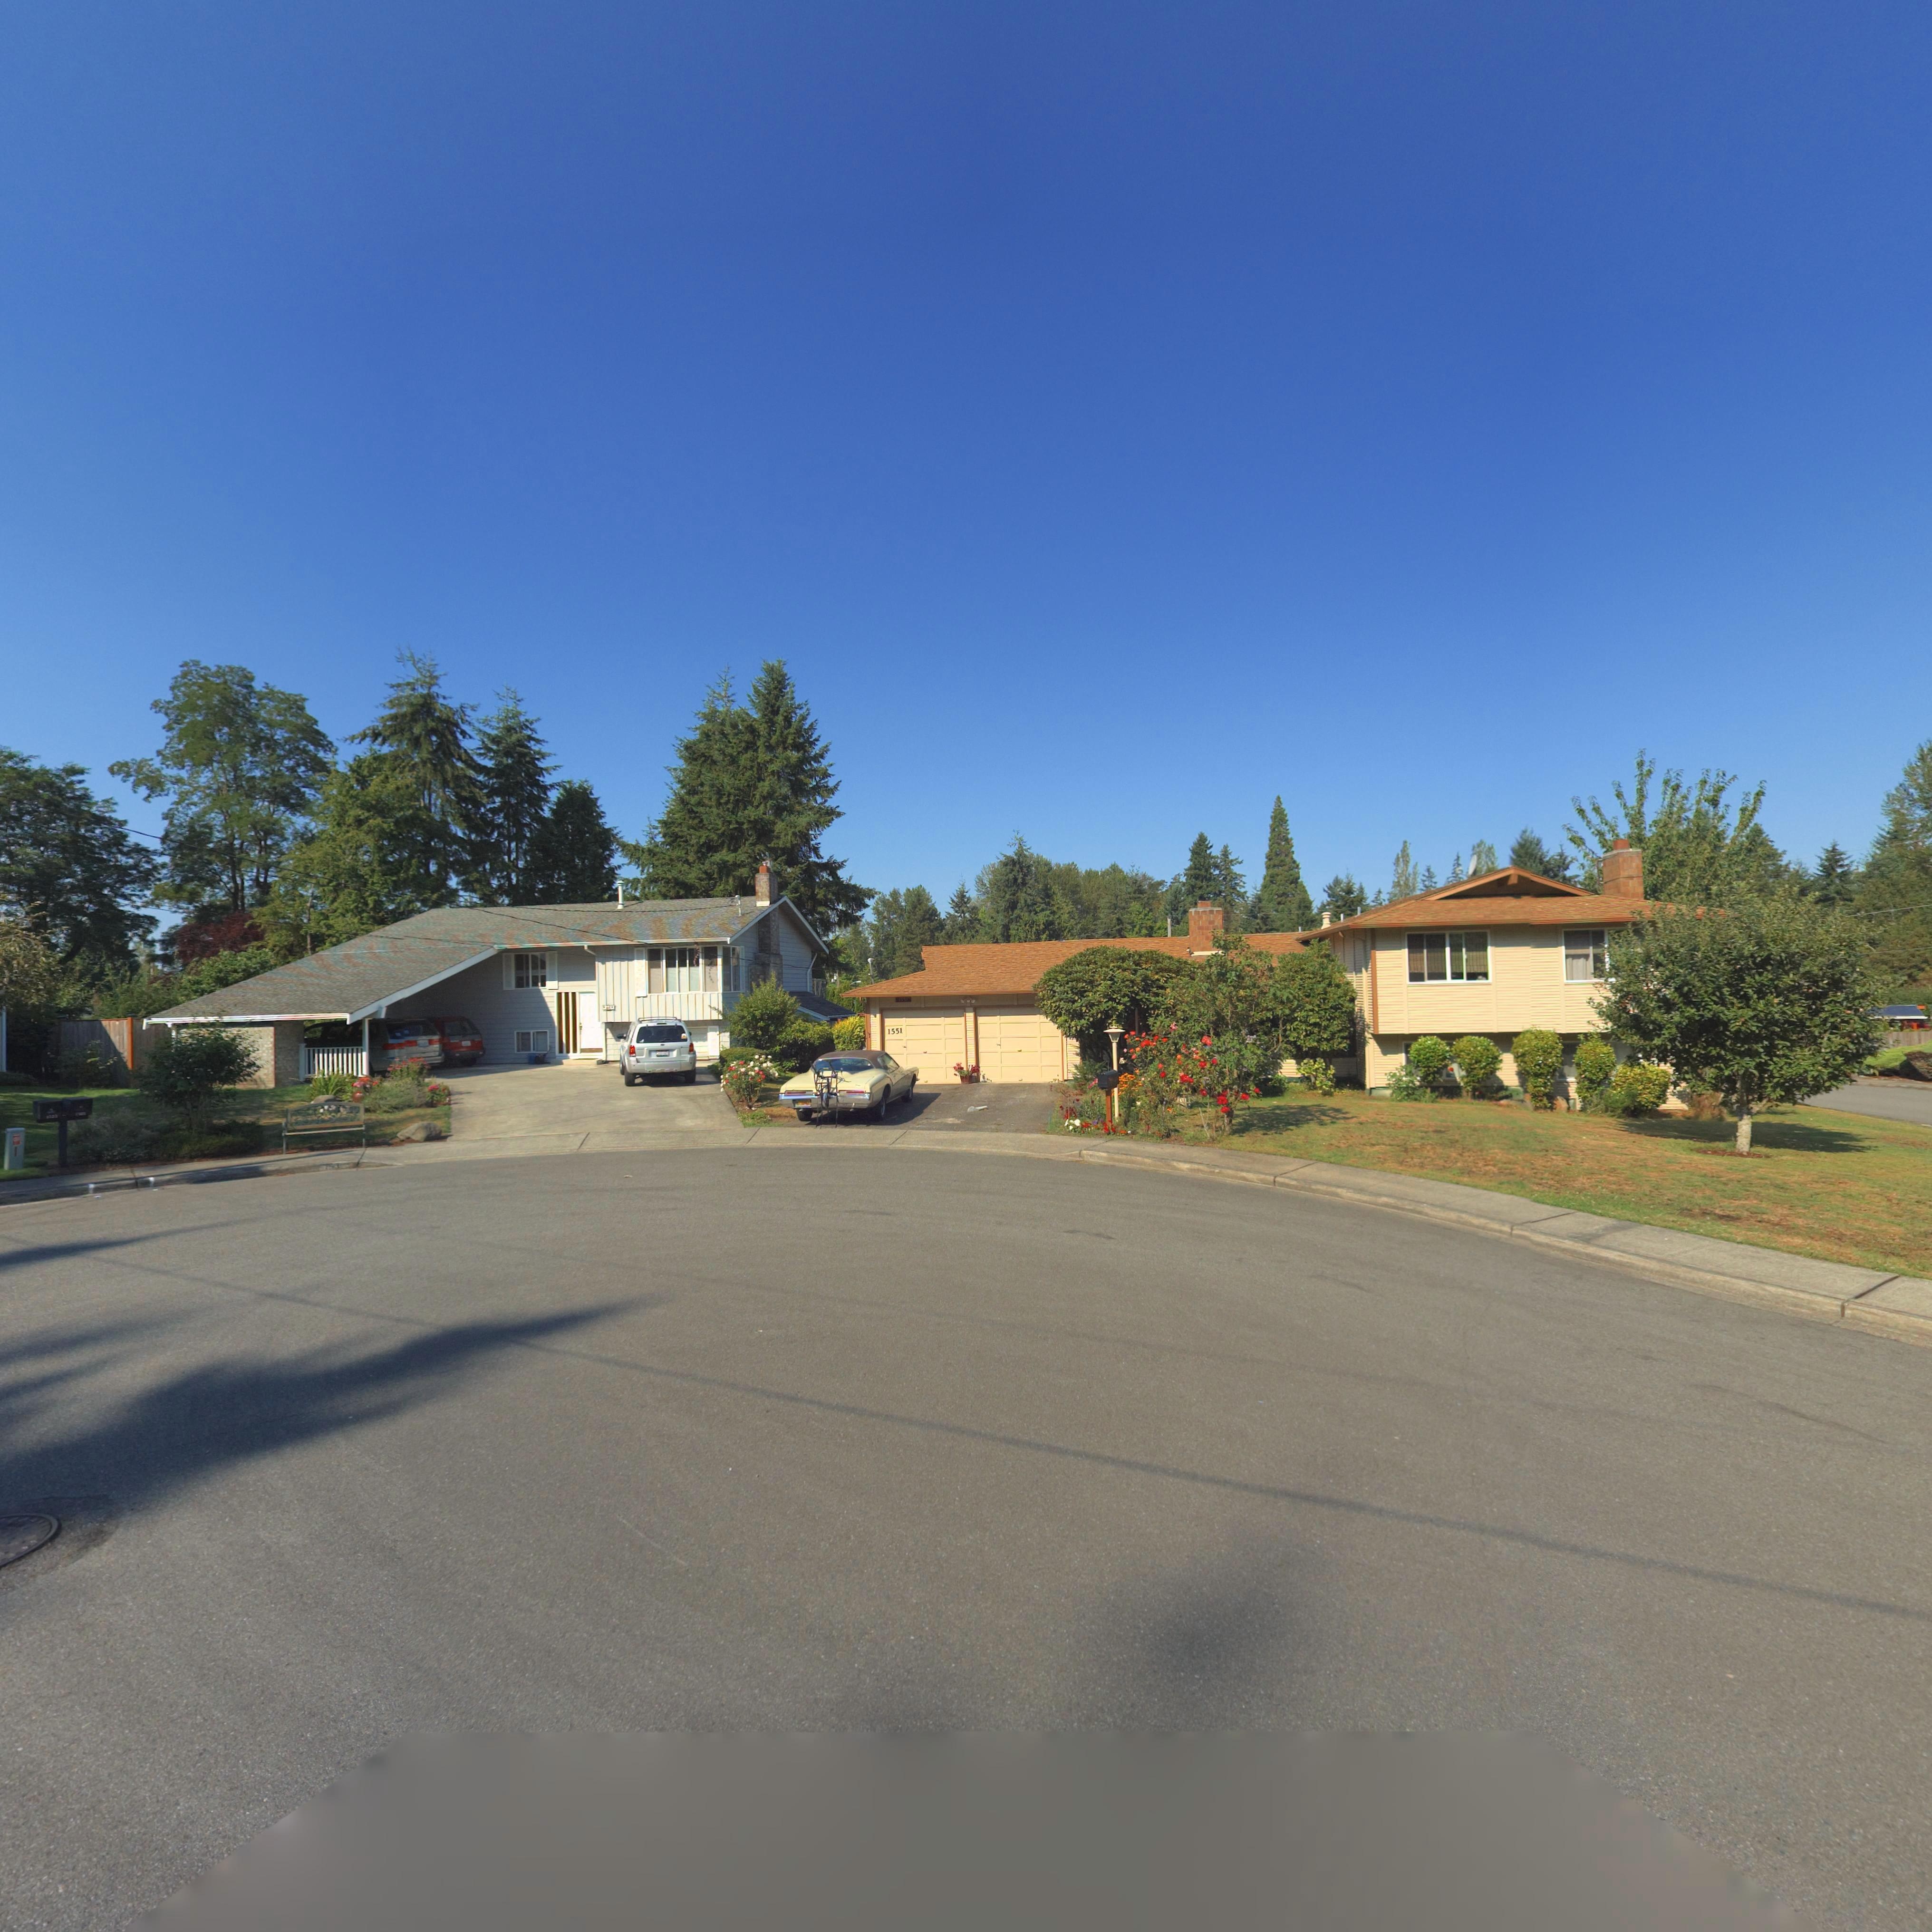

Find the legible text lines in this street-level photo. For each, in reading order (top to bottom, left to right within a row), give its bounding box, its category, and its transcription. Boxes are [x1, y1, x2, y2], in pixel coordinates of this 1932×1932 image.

[888, 1027, 903, 1034] StreetNumber: 1551